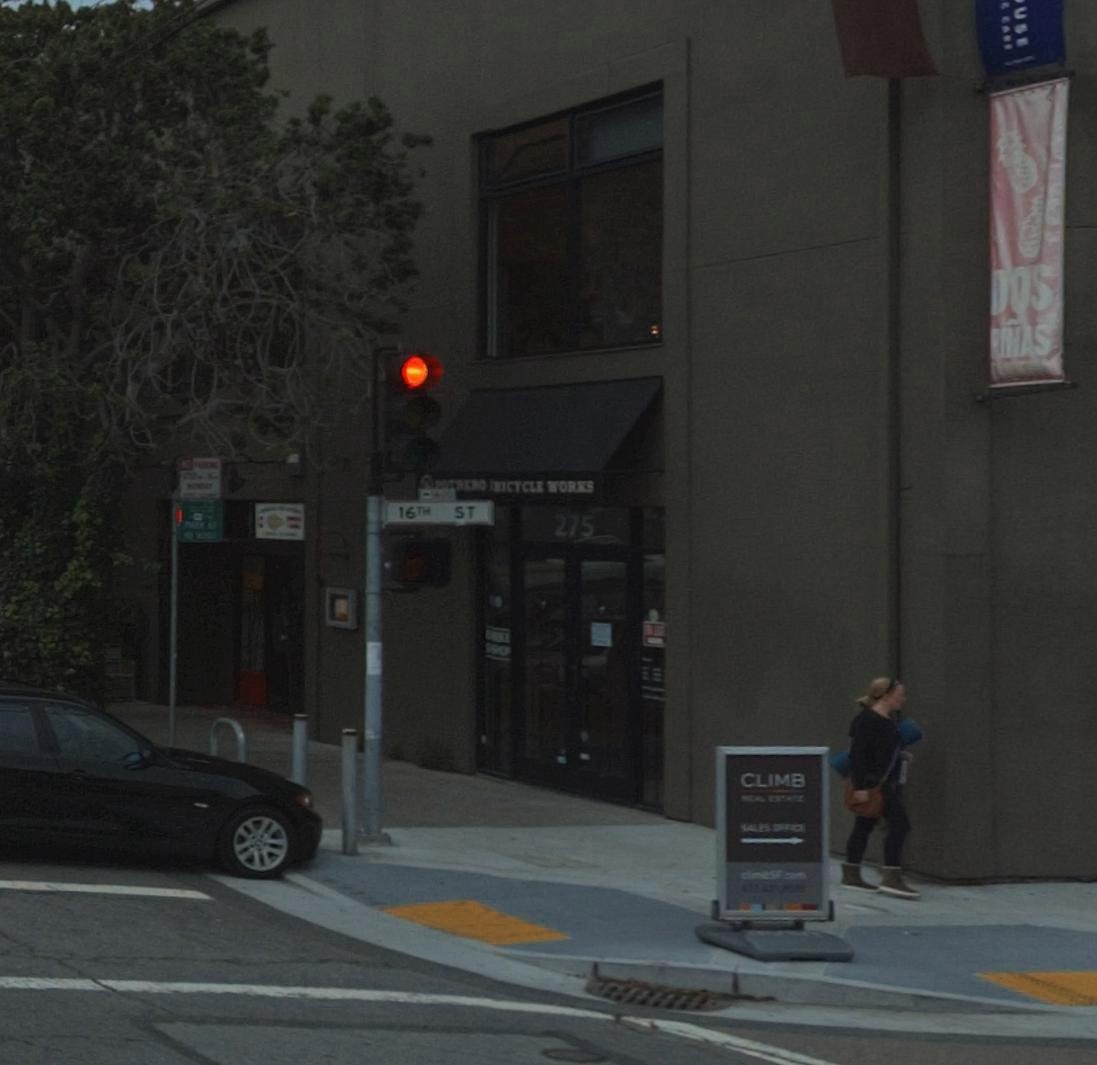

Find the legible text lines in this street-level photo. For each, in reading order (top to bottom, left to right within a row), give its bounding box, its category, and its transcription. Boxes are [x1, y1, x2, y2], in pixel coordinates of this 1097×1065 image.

[991, 260, 1057, 317] None: DOS
[990, 323, 1055, 359] None: RINAS
[180, 460, 218, 469] None: NO PARKING
[432, 479, 594, 494] BusinessName: POTRERO BICYCLE WORKS
[421, 490, 453, 501] StreetNumberRange: <- 1600
[397, 504, 477, 519] BusinessName: 16TH ST
[553, 512, 595, 538] StreetNumber: 275
[740, 772, 807, 788] None: CLIMB